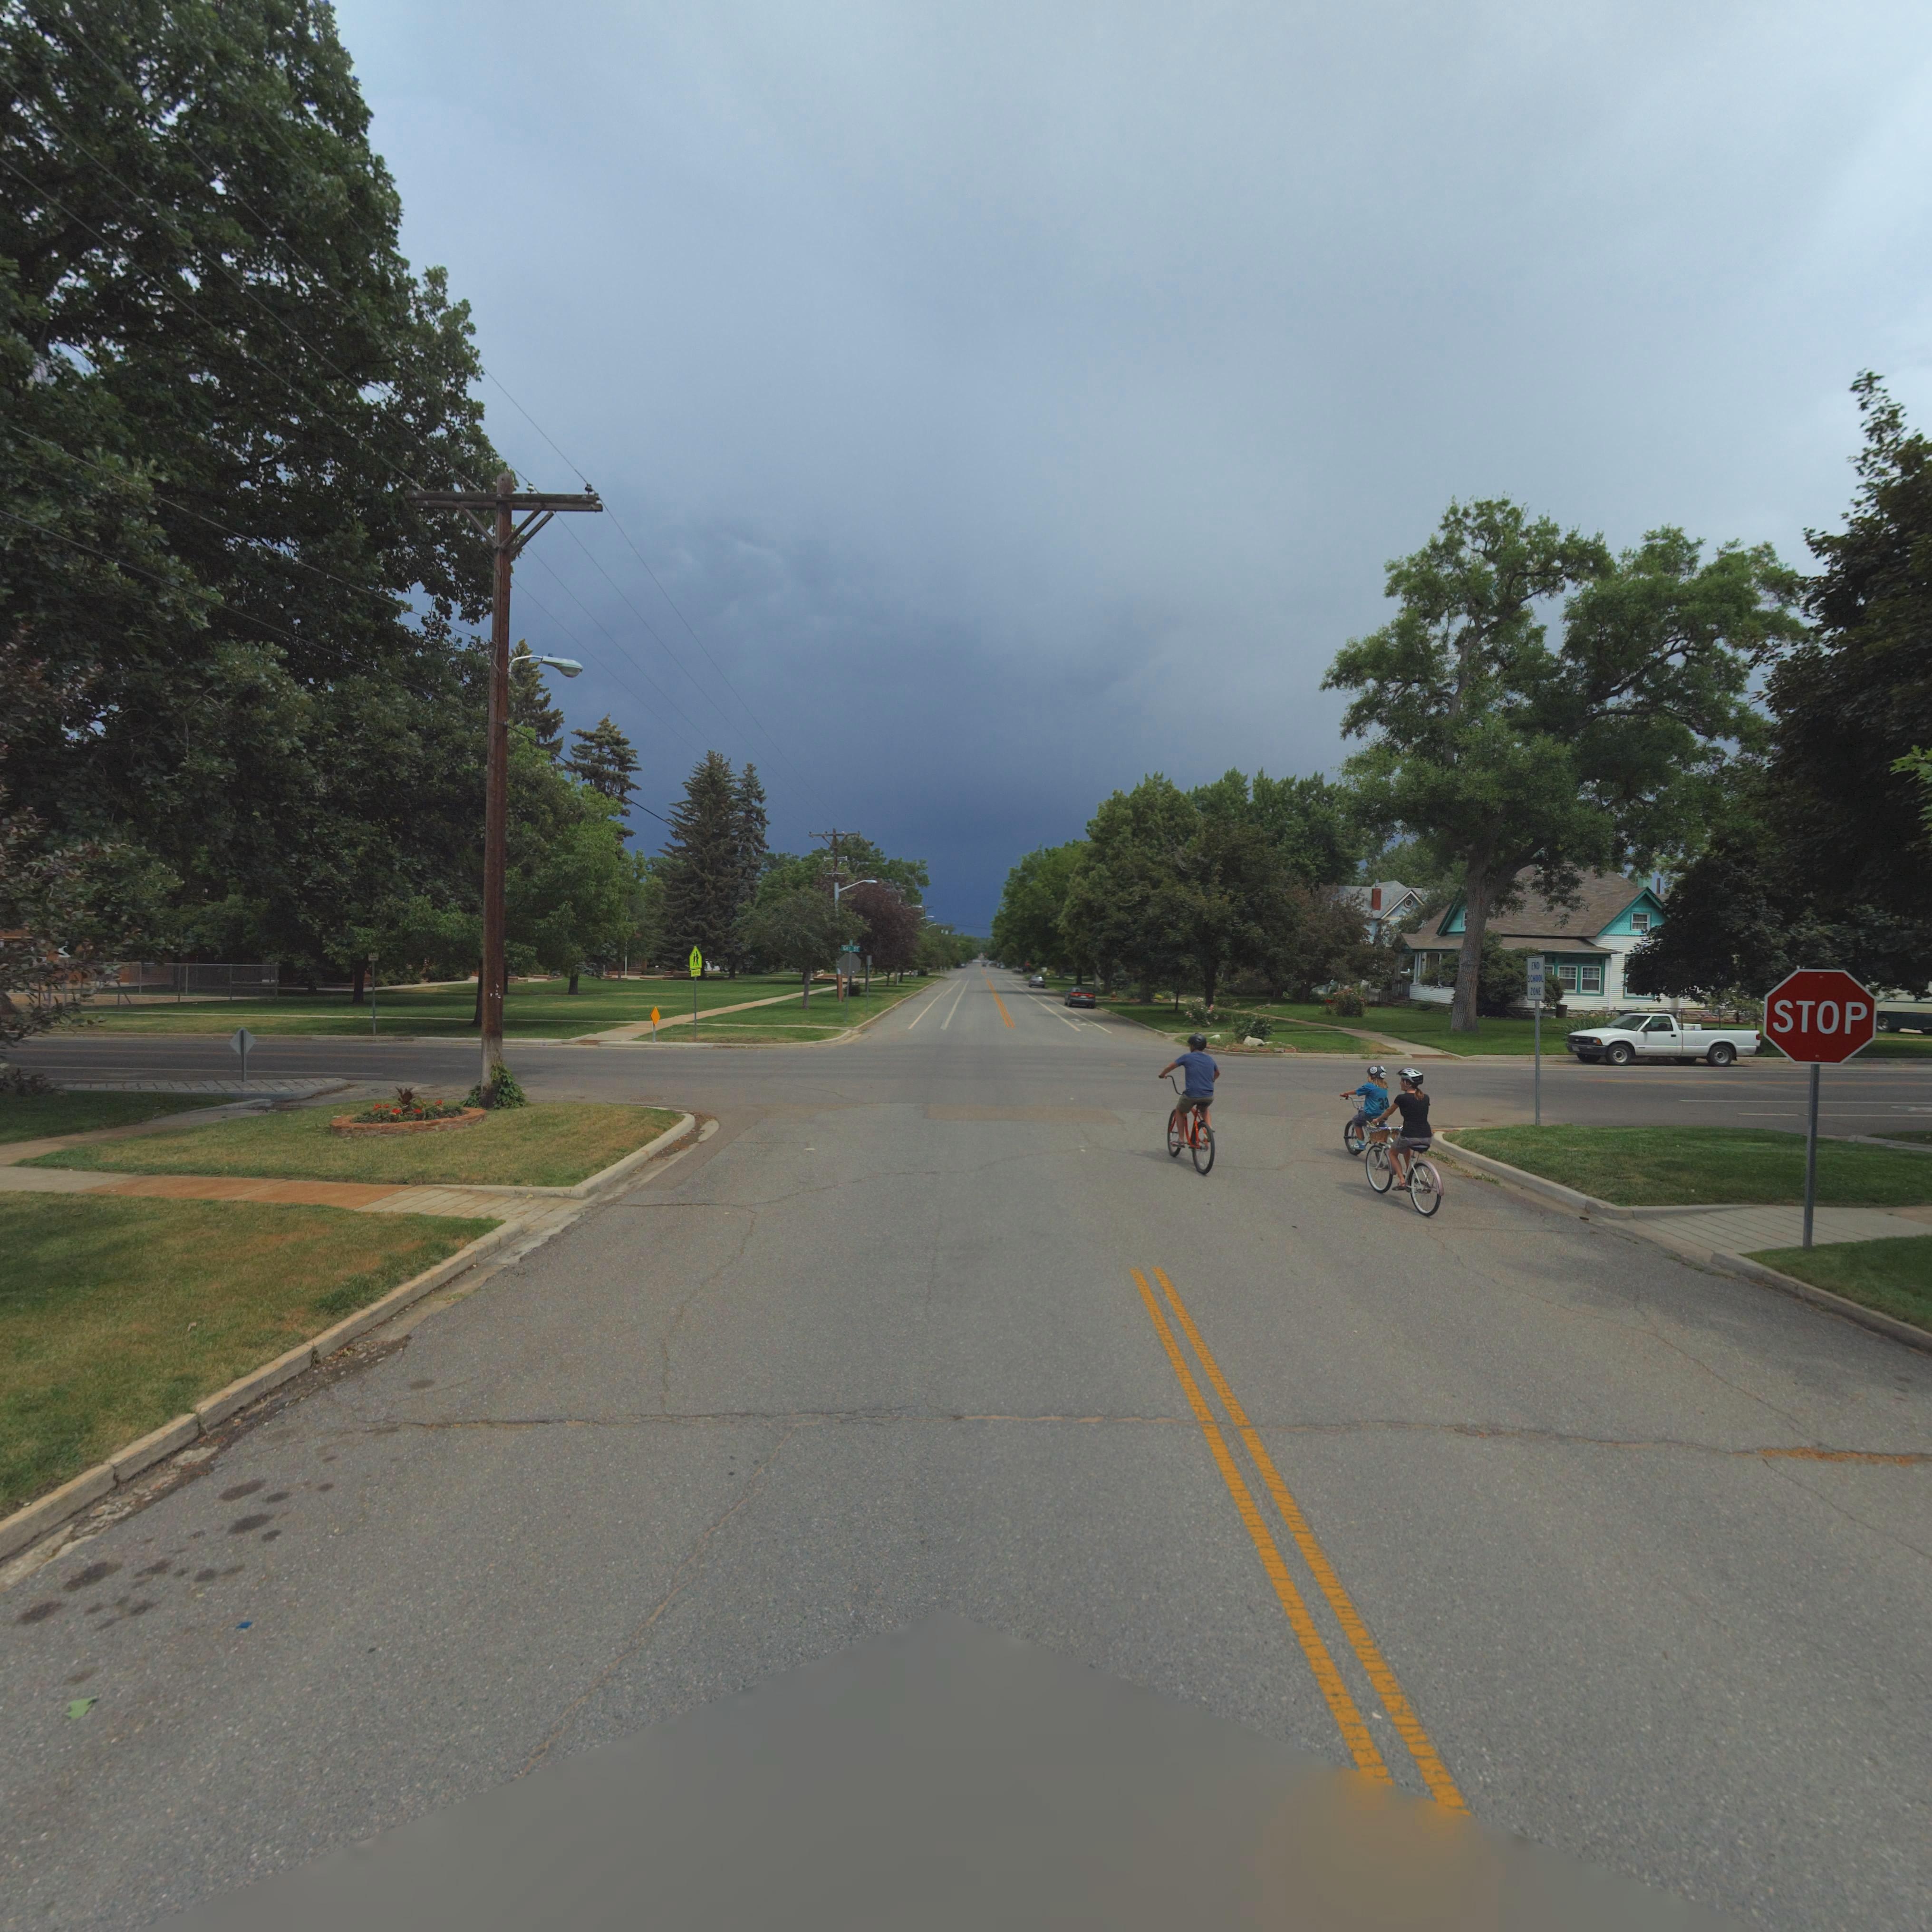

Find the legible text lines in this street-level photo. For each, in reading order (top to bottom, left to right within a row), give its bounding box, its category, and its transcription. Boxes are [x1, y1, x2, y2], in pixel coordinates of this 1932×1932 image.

[842, 946, 859, 951] StreetName: GAY ST